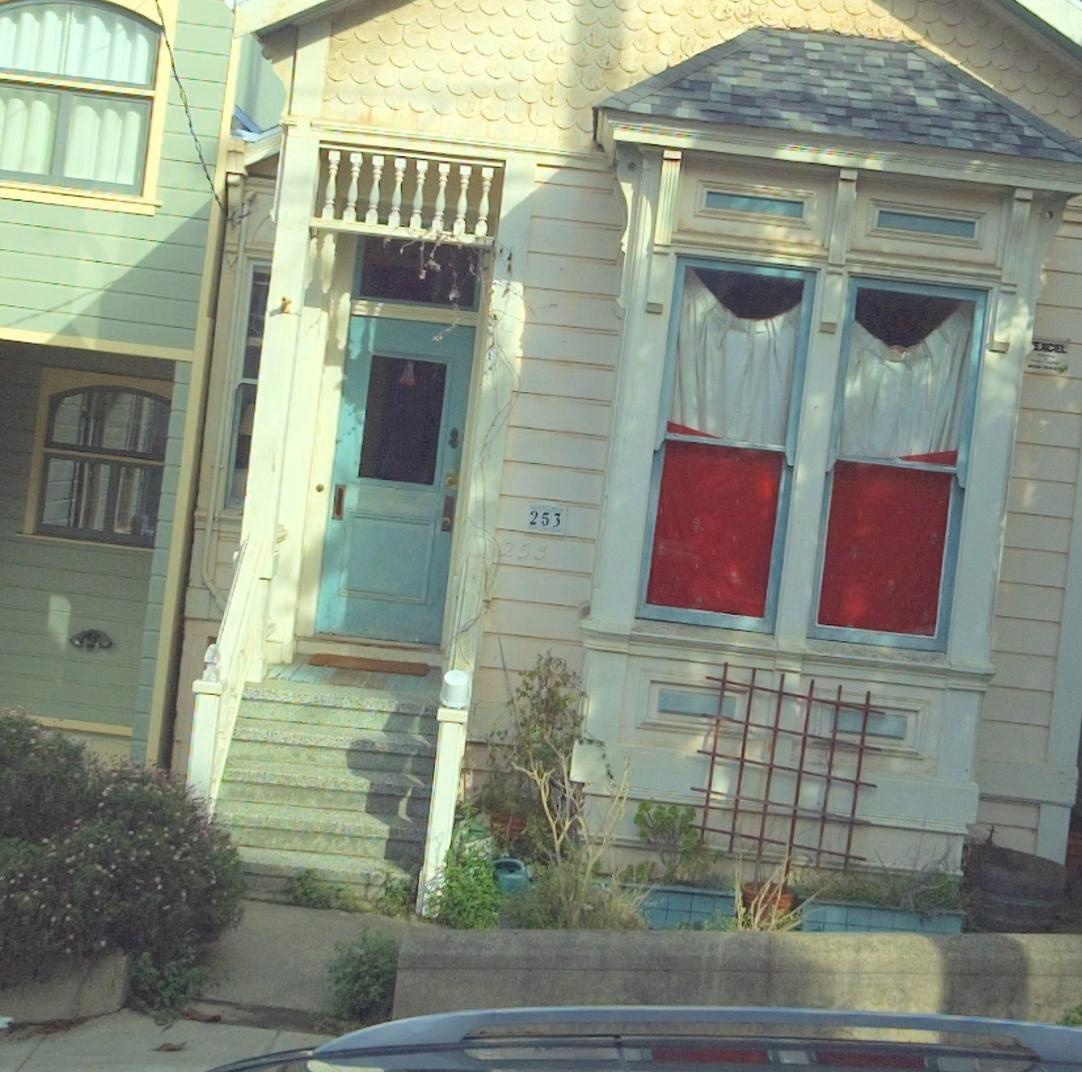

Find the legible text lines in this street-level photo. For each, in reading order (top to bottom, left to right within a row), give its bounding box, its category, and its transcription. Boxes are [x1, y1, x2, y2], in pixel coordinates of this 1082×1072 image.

[529, 510, 561, 528] StreetNumber: 253
[500, 542, 548, 561] StreetNumber: 253